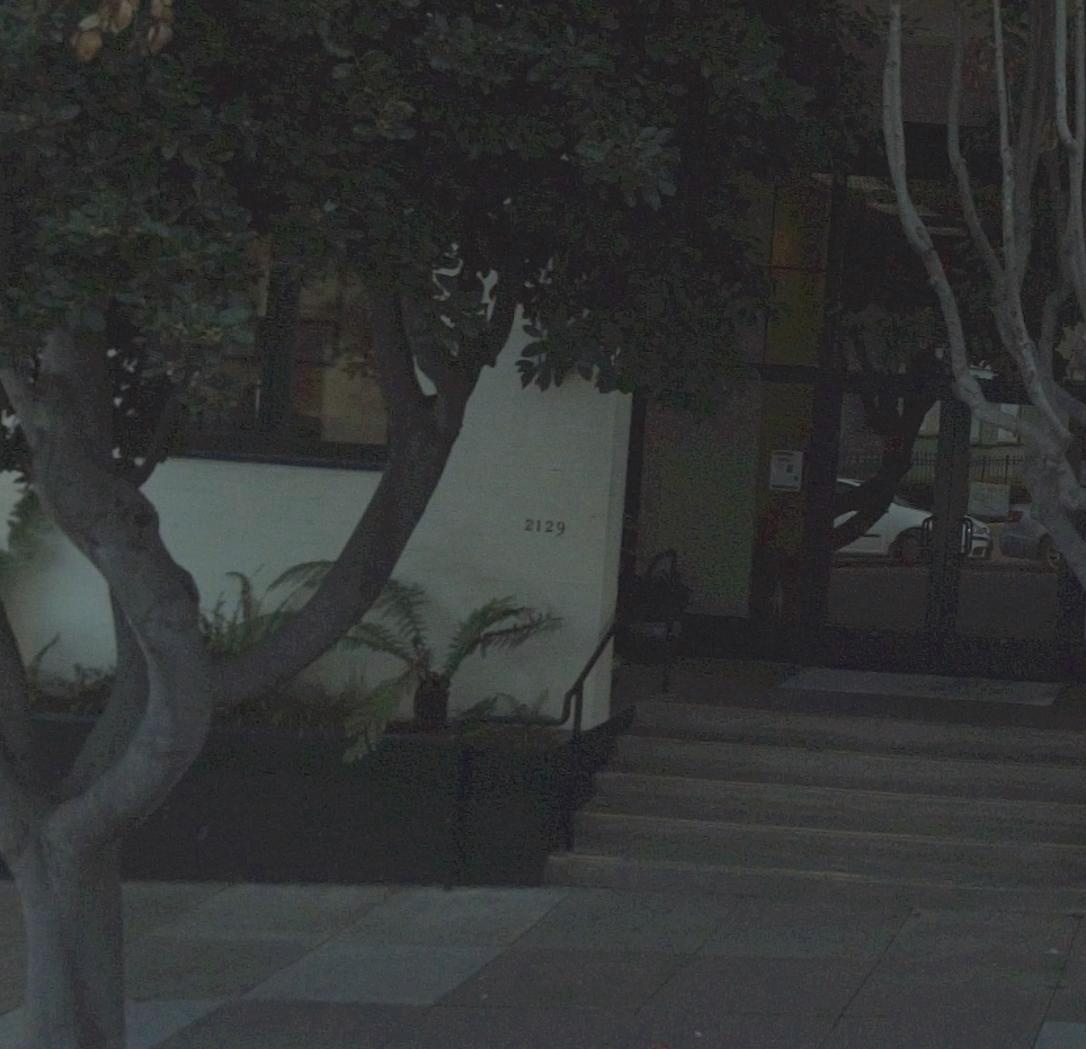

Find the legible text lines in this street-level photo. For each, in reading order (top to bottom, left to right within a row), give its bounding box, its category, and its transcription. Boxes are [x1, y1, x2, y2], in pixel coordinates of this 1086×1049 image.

[520, 516, 568, 539] StreetNumber: 2129